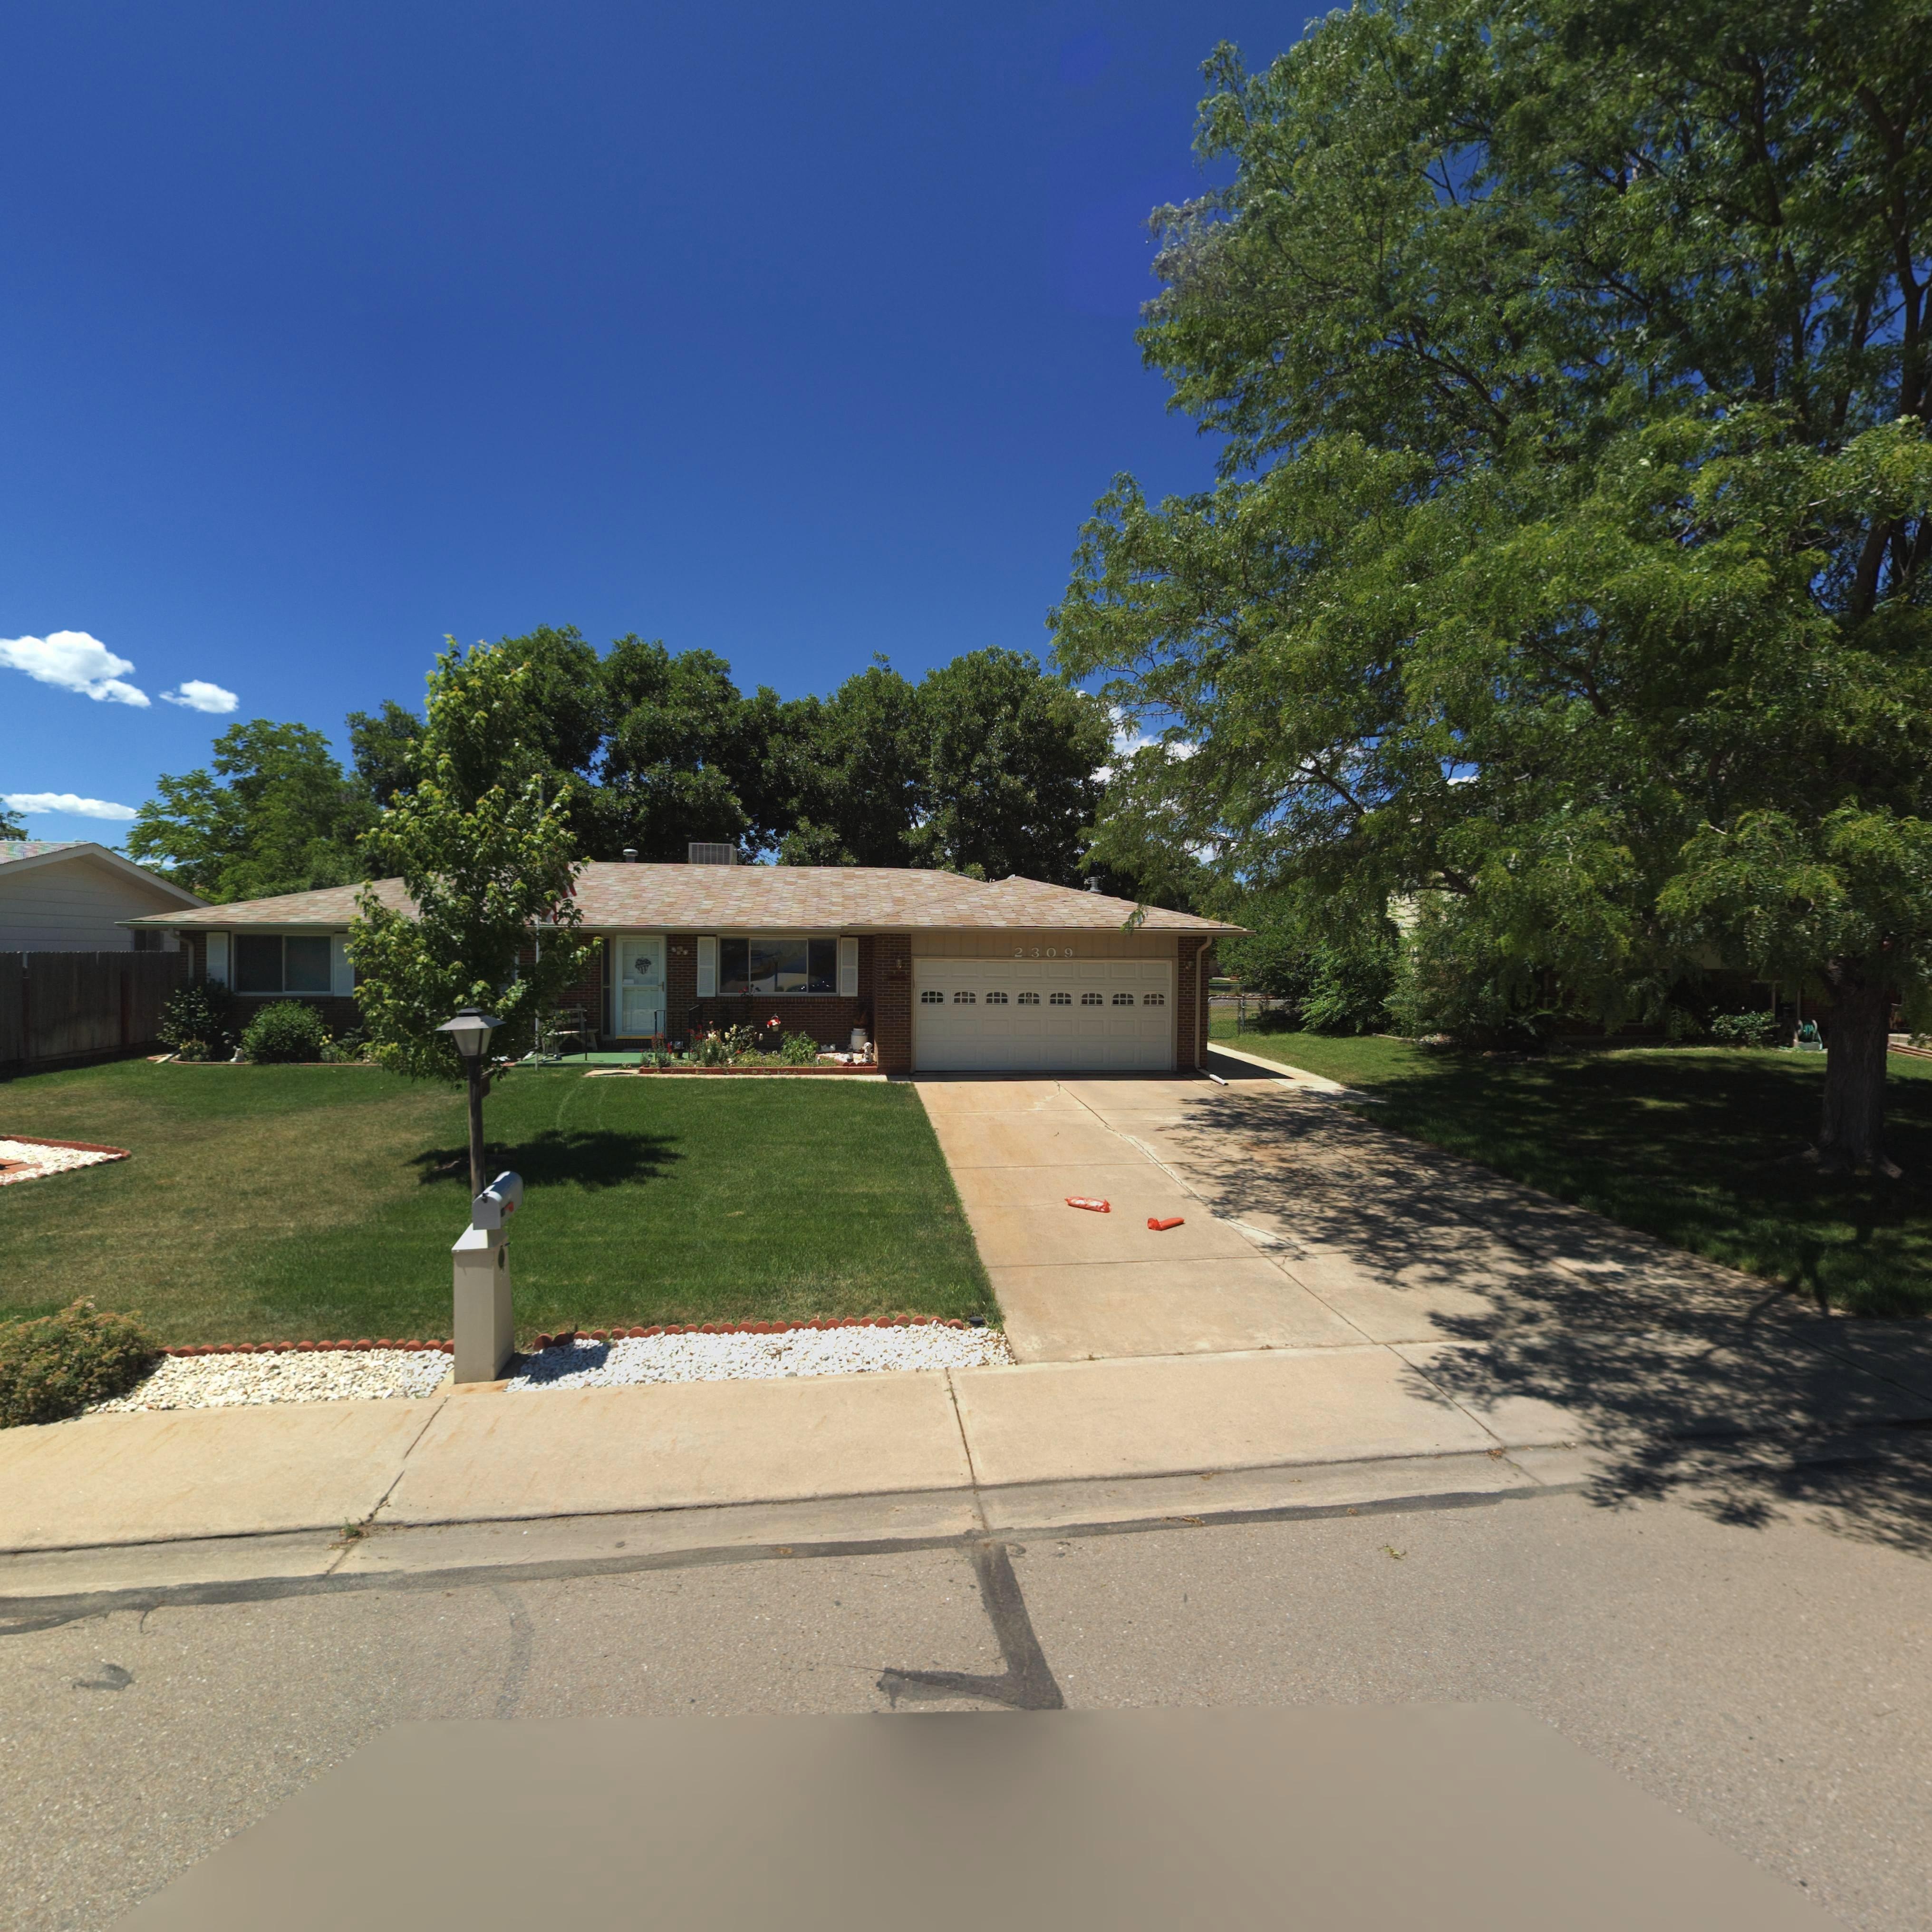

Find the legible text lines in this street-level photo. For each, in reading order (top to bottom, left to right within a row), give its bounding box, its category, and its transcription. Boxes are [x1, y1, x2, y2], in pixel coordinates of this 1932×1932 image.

[1013, 946, 1074, 958] StreetNumber: 2309